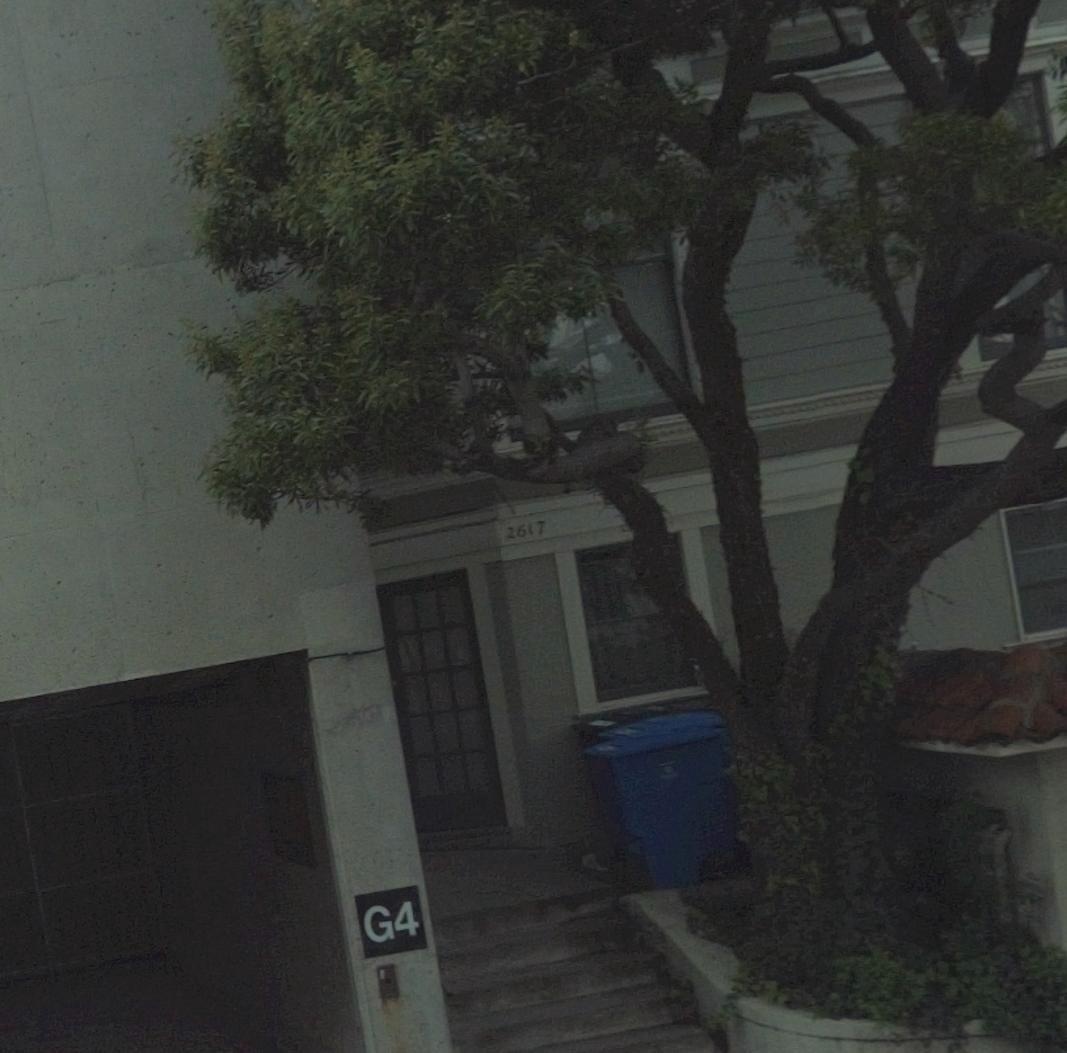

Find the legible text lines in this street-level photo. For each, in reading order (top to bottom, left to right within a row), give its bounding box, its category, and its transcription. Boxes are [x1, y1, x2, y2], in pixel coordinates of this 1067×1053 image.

[504, 517, 547, 542] StreetNumber: 2617
[361, 896, 422, 944] StreetNumber: G4